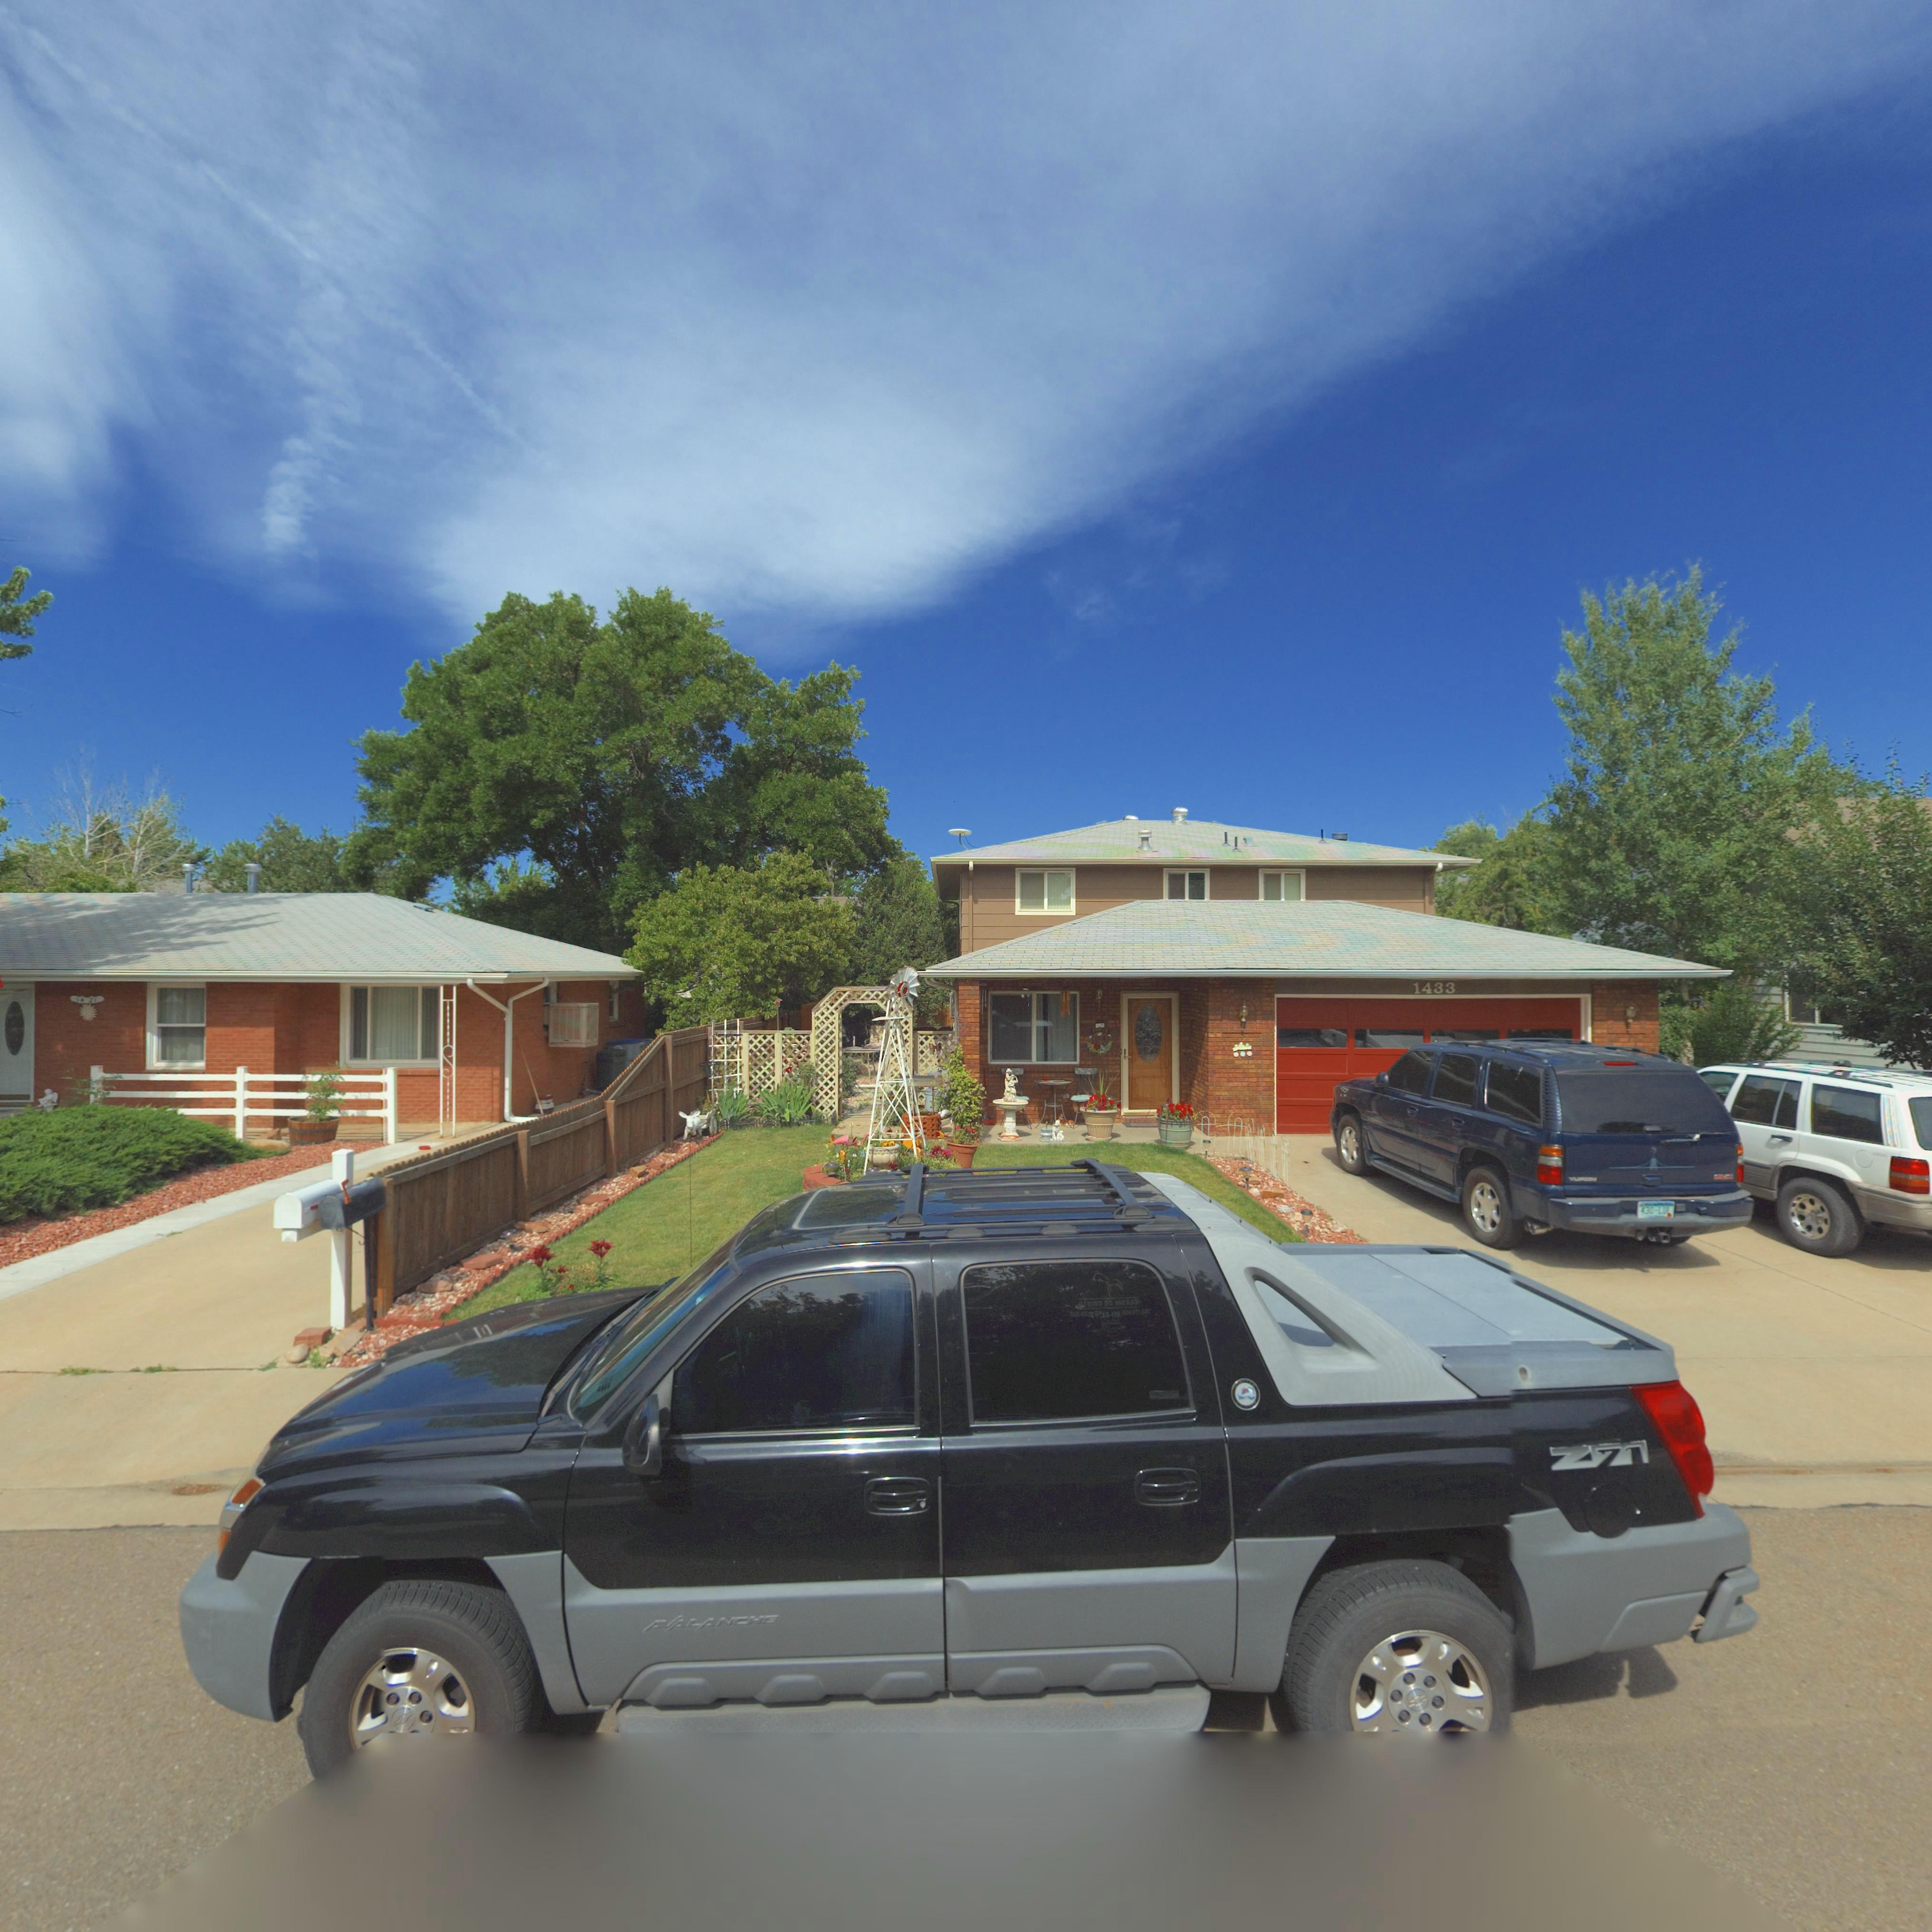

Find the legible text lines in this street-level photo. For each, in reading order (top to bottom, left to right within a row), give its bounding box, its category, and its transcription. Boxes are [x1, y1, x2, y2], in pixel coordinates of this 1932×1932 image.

[1413, 981, 1457, 994] StreetNumber: 1433
[76, 996, 96, 1003] StreetNumber: 1421